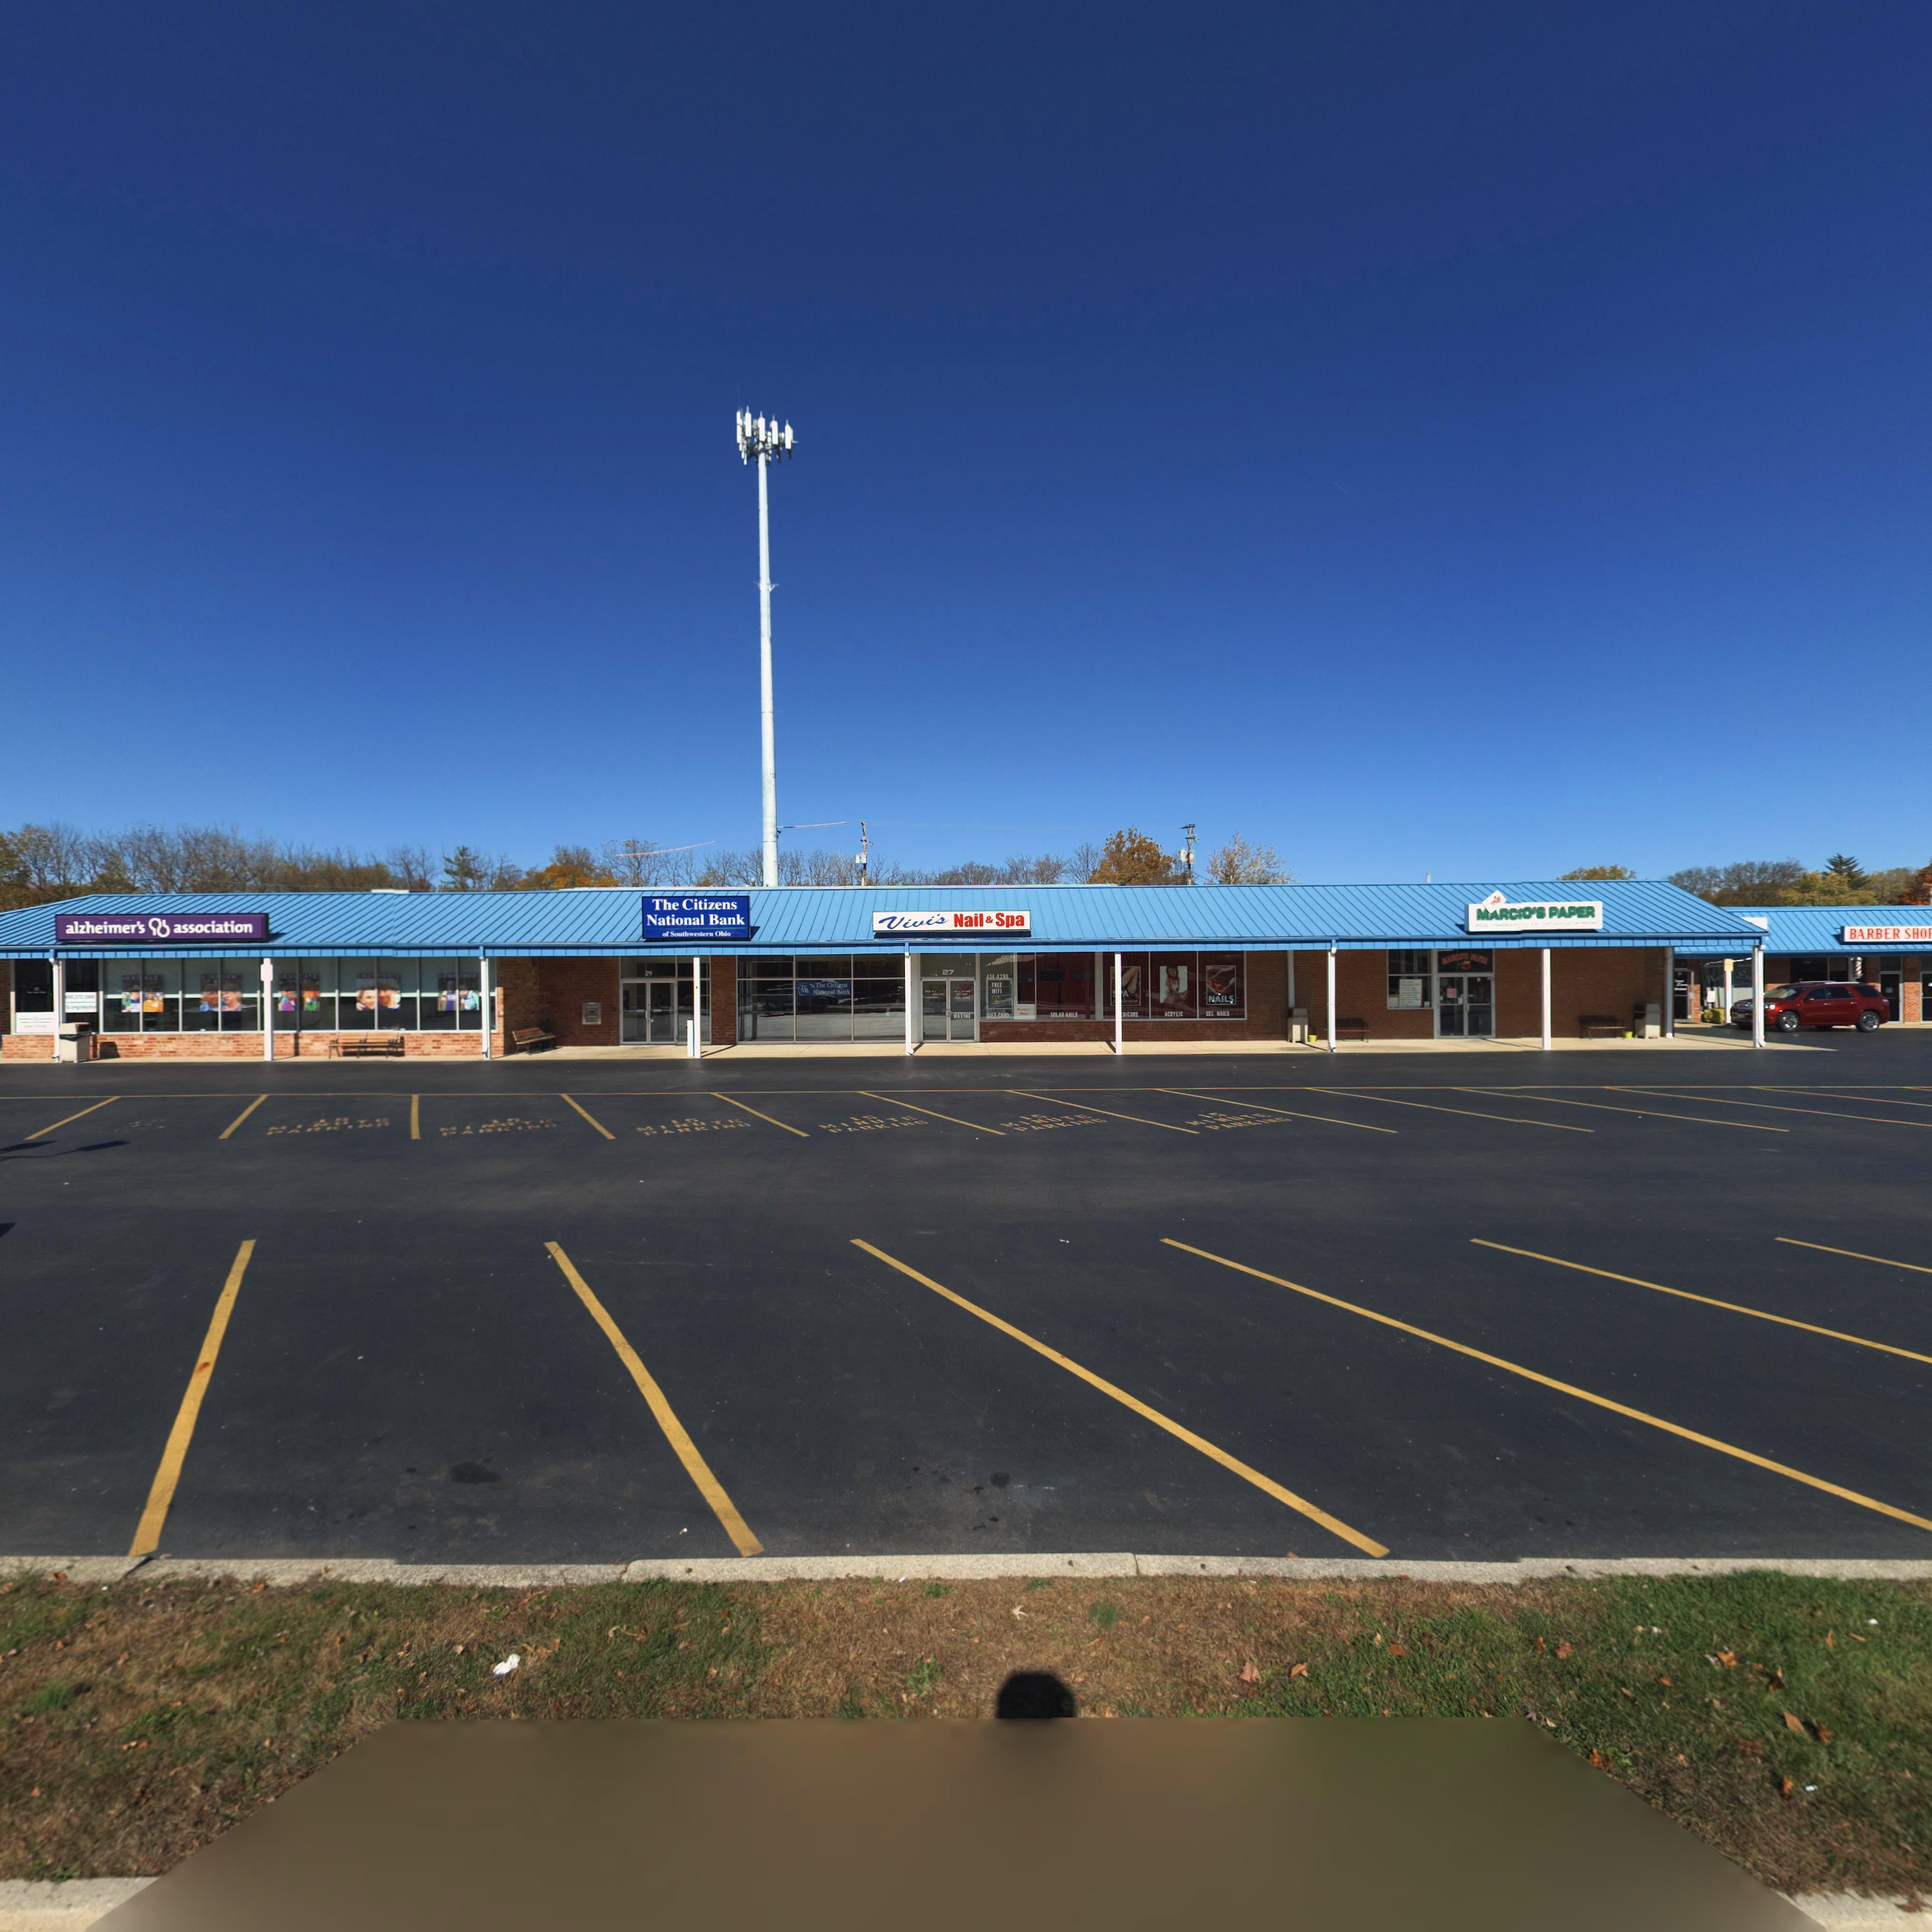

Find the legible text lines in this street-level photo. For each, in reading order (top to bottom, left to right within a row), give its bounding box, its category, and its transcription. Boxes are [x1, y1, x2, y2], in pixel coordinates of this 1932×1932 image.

[651, 898, 738, 911] BusinessName: Citizens
[1476, 906, 1596, 922] BusinessName: MARCO'S PAPER
[645, 913, 746, 927] BusinessName: National Bank
[878, 912, 1025, 930] BusinessName: Vivi's Nail & Spa
[64, 919, 254, 935] BusinessName: alzheimer's * association
[661, 930, 732, 938] BusinessName: of Southwestern Ohio
[1849, 927, 1928, 940] BusinessName: BARBER SHO
[1439, 952, 1489, 966] BusinessName: MARCO'S P*P**
[644, 970, 653, 977] StreetNumber: 29
[799, 984, 809, 989] BusinessName: TC
[799, 988, 810, 994] BusinessName: N*
[814, 982, 849, 989] BusinessName: The Citizens
[812, 988, 851, 995] BusinessName: National Bank
[941, 969, 955, 976] StreetNumber: 27
[991, 982, 1003, 988] None: FREE
[991, 988, 1003, 995] None: WIFI
[985, 974, 1009, 980] None: 434-4280
[1121, 989, 1130, 998] None: A
[1207, 995, 1235, 1003] None: NAILS
[1703, 974, 1716, 985] BusinessName: M
[1735, 969, 1748, 981] BusinessName: E
[953, 1013, 971, 1019] None: WAXING
[986, 1012, 1010, 1019] None: GIFT CARD
[1050, 1011, 1079, 1018] None: SOLAR NAILS
[1122, 1011, 1139, 1018] None: DICURE
[1164, 1011, 1184, 1017] None: ACRYLIC
[1205, 1010, 1230, 1017] None: GET NAILS
[264, 1121, 391, 1137] None: PARKING
[265, 1117, 391, 1132] None: MINUTE
[438, 1119, 554, 1132] None: MINUTE
[441, 1122, 559, 1137] None: PARKING
[635, 1118, 744, 1132] None: MINUTE
[642, 1122, 753, 1137] None: PARKING
[816, 1115, 920, 1130] None: MINUTE
[826, 1119, 931, 1134] None: PARKING
[997, 1113, 1095, 1128] None: MINUTE
[1011, 1118, 1109, 1132] None: PARKING
[1183, 1112, 1274, 1126] None: MINUTE
[1204, 1117, 1294, 1130] None: PARKING